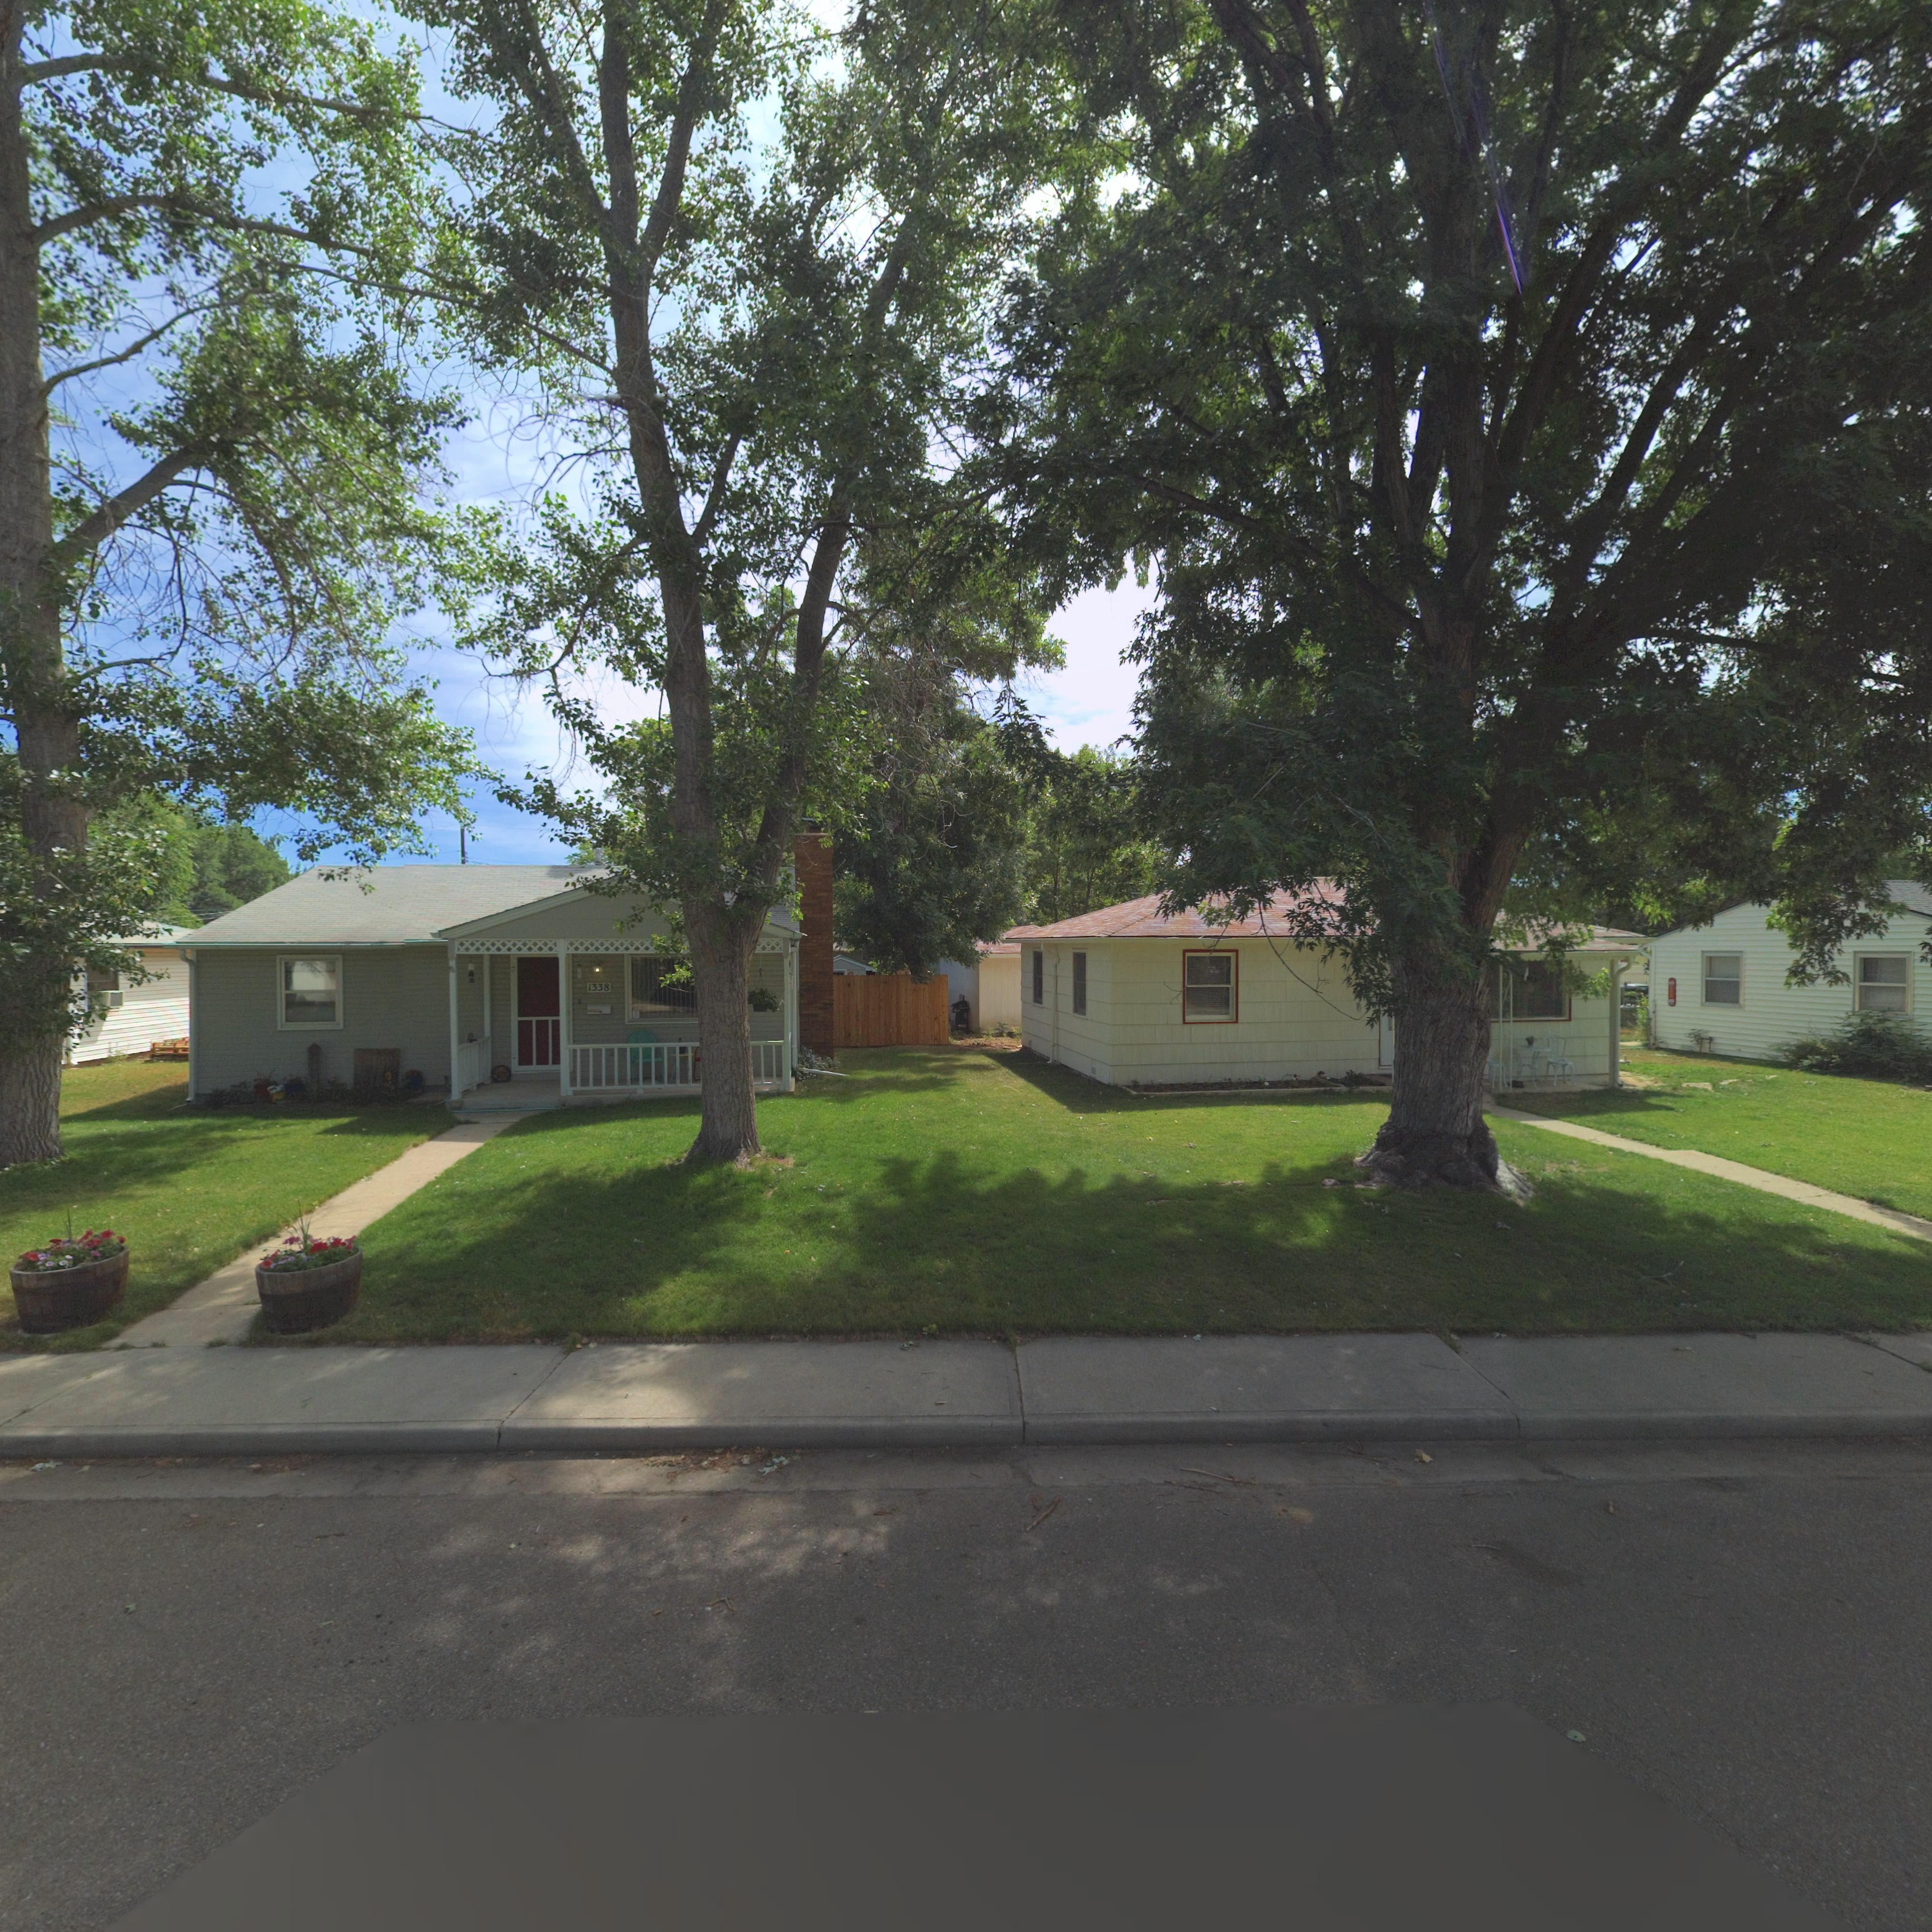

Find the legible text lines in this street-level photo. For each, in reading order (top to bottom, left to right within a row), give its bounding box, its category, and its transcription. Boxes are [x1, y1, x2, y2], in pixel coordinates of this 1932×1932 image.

[588, 982, 610, 992] StreetNumber: 1338